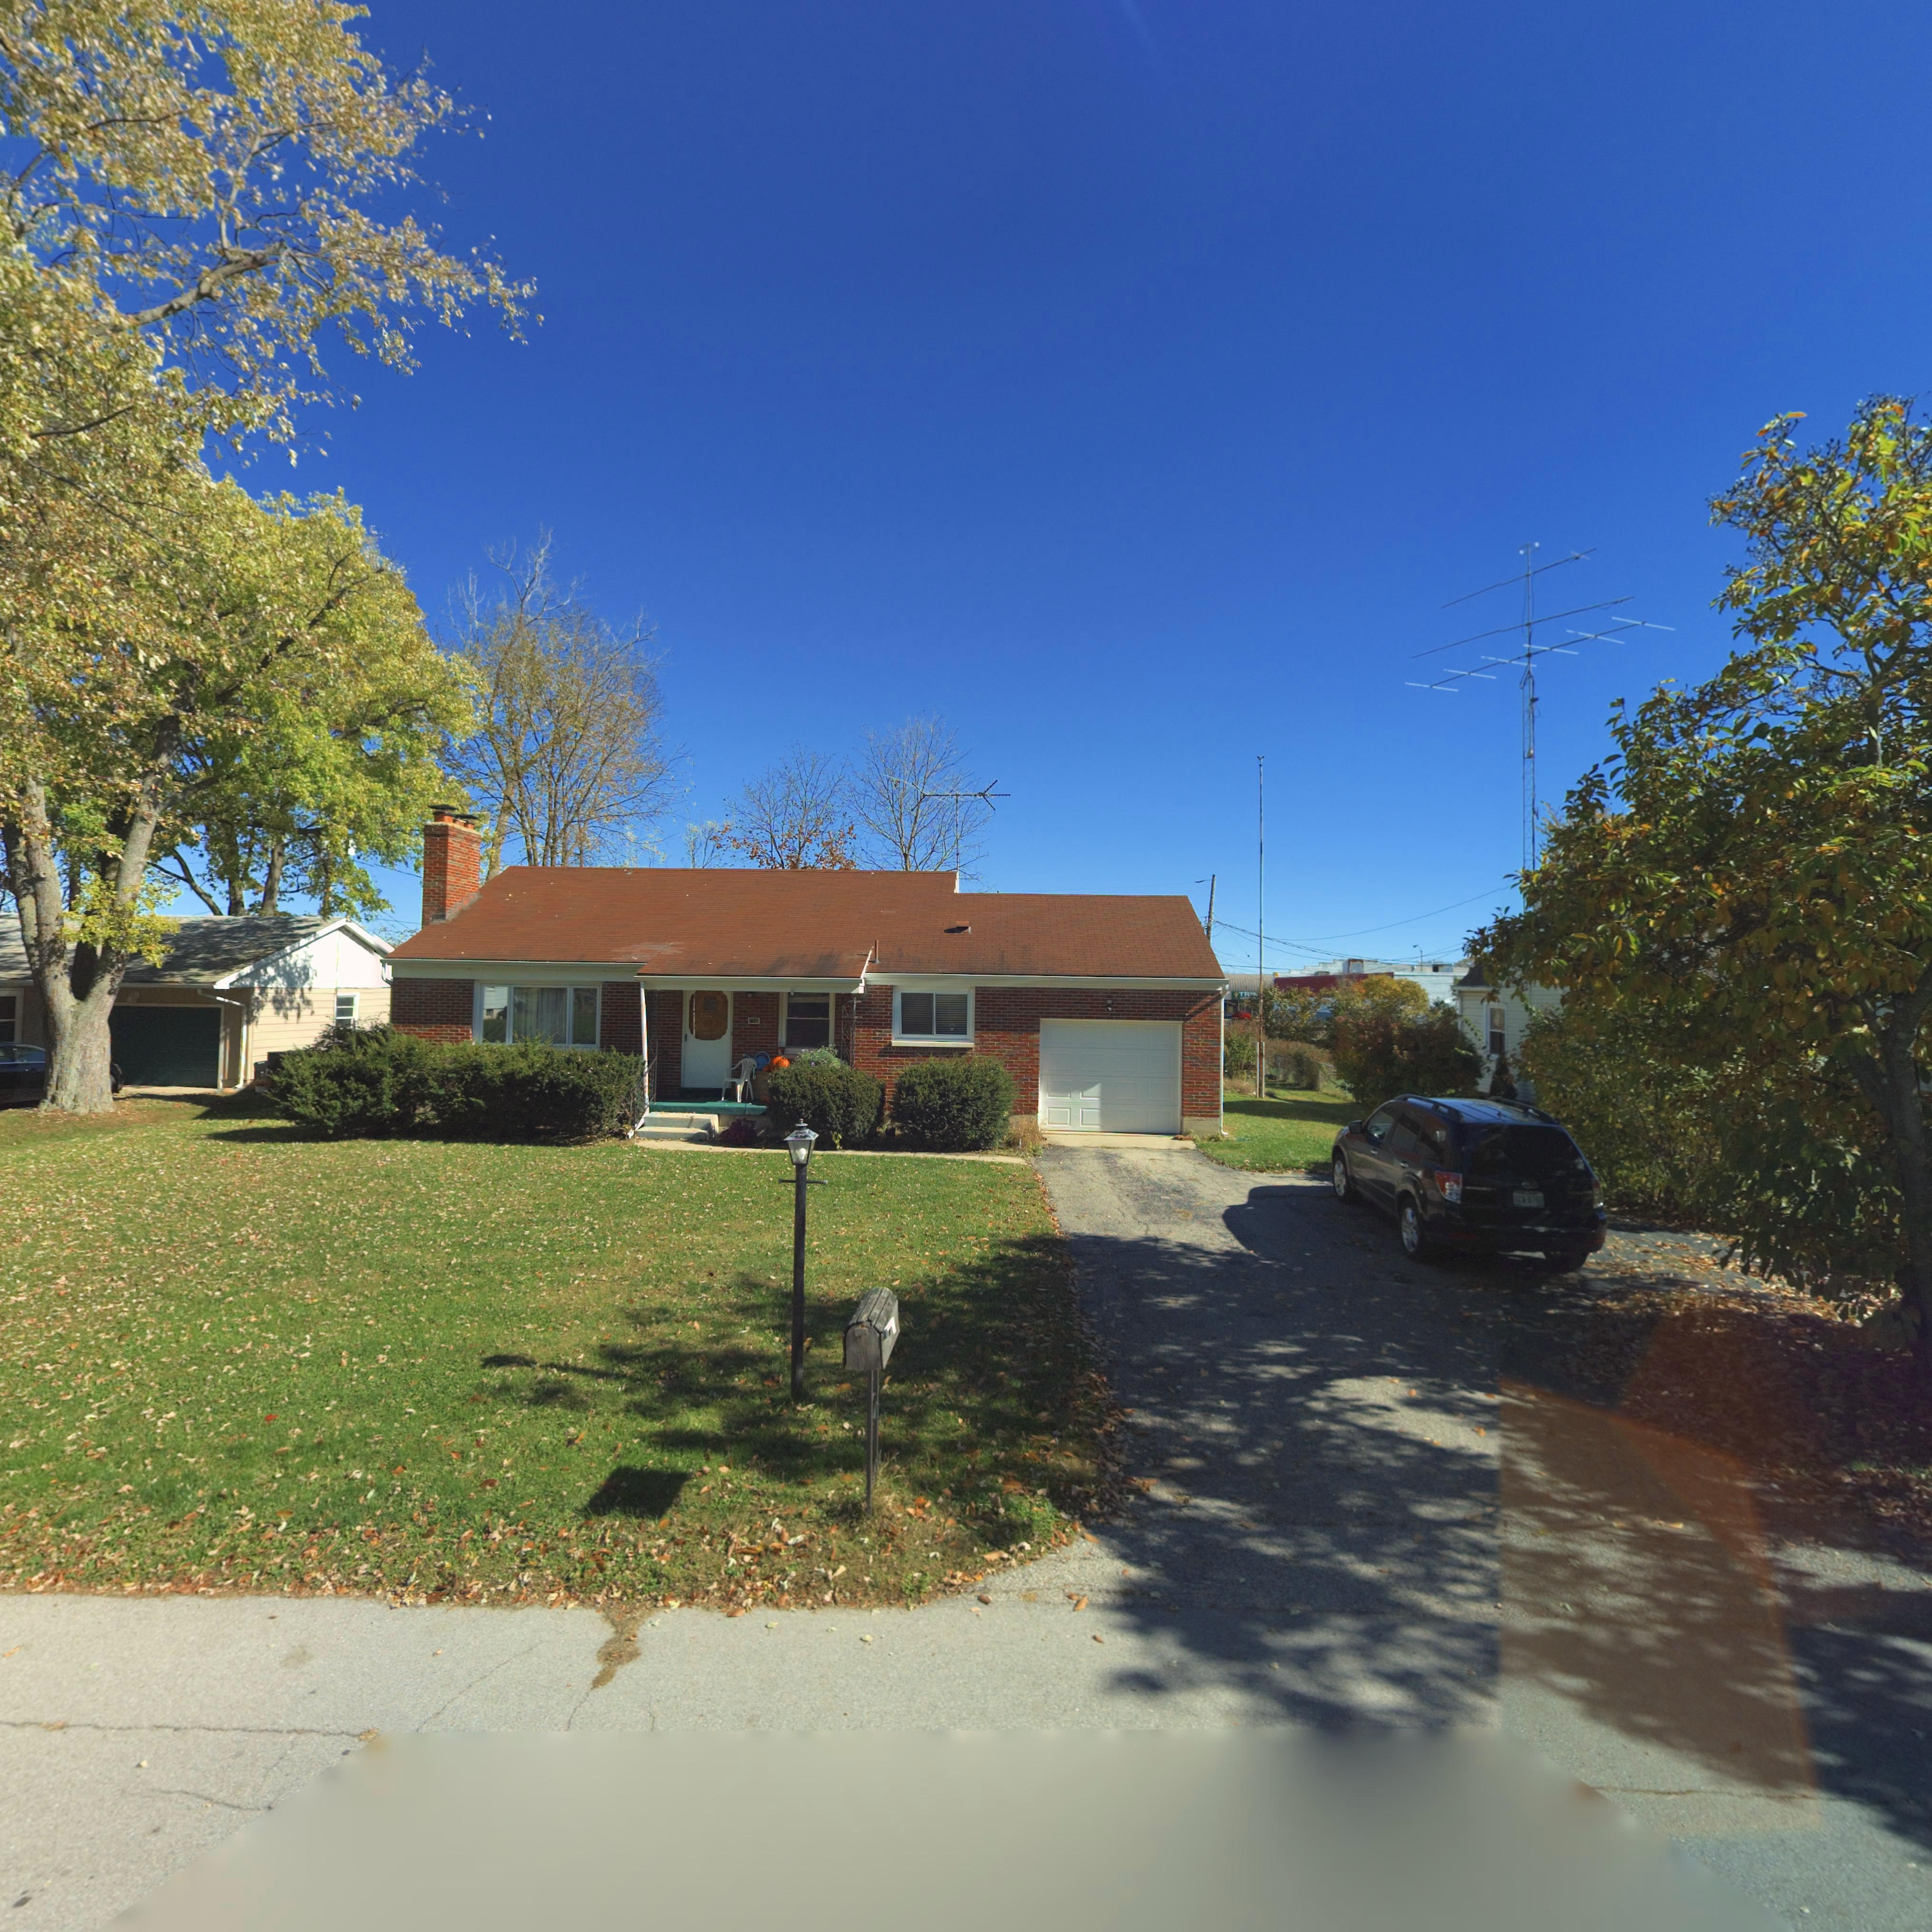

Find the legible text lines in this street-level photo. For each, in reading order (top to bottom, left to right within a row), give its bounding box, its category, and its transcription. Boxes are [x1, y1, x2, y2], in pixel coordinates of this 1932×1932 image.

[749, 1018, 759, 1023] StreetNumber: 706